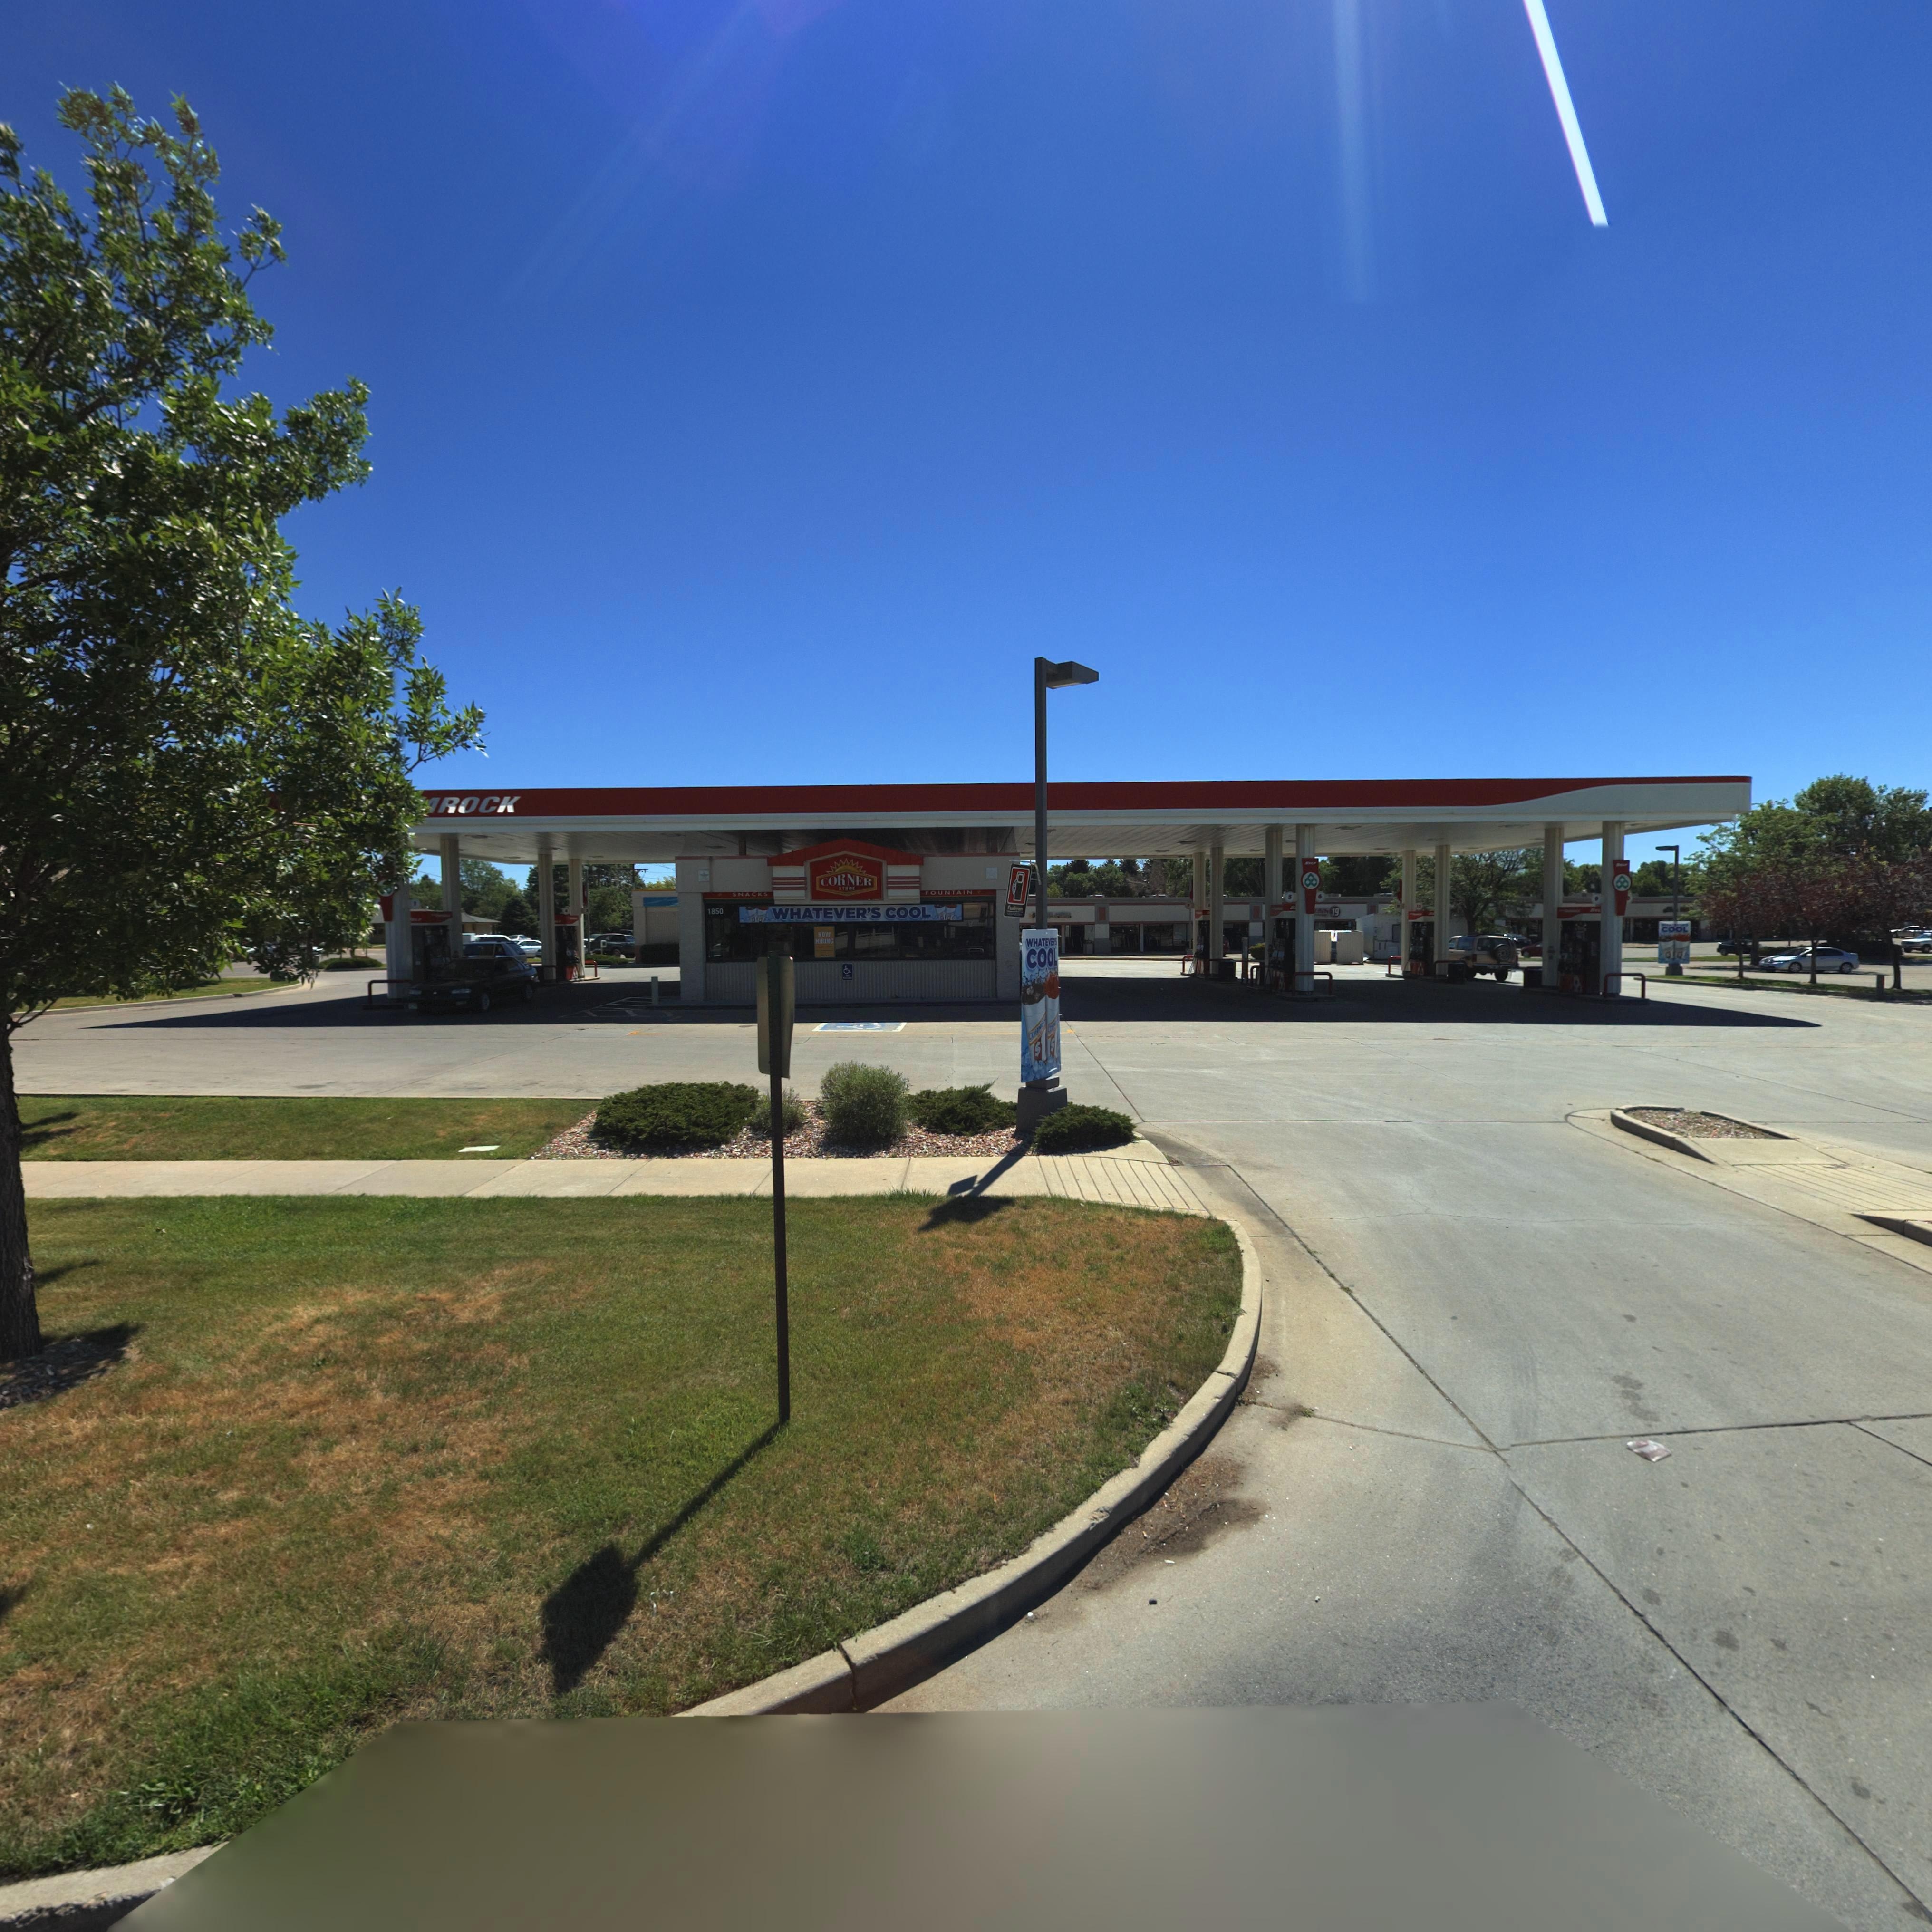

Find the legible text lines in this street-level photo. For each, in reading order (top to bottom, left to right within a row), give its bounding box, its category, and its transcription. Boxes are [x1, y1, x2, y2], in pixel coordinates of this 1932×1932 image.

[435, 795, 522, 814] BusinessName: ROCK
[820, 873, 871, 886] BusinessName: CORNER
[839, 886, 856, 890] BusinessName: STORE
[706, 908, 724, 914] StreetNumber: 1850
[1332, 907, 1339, 916] BusinessName: 19